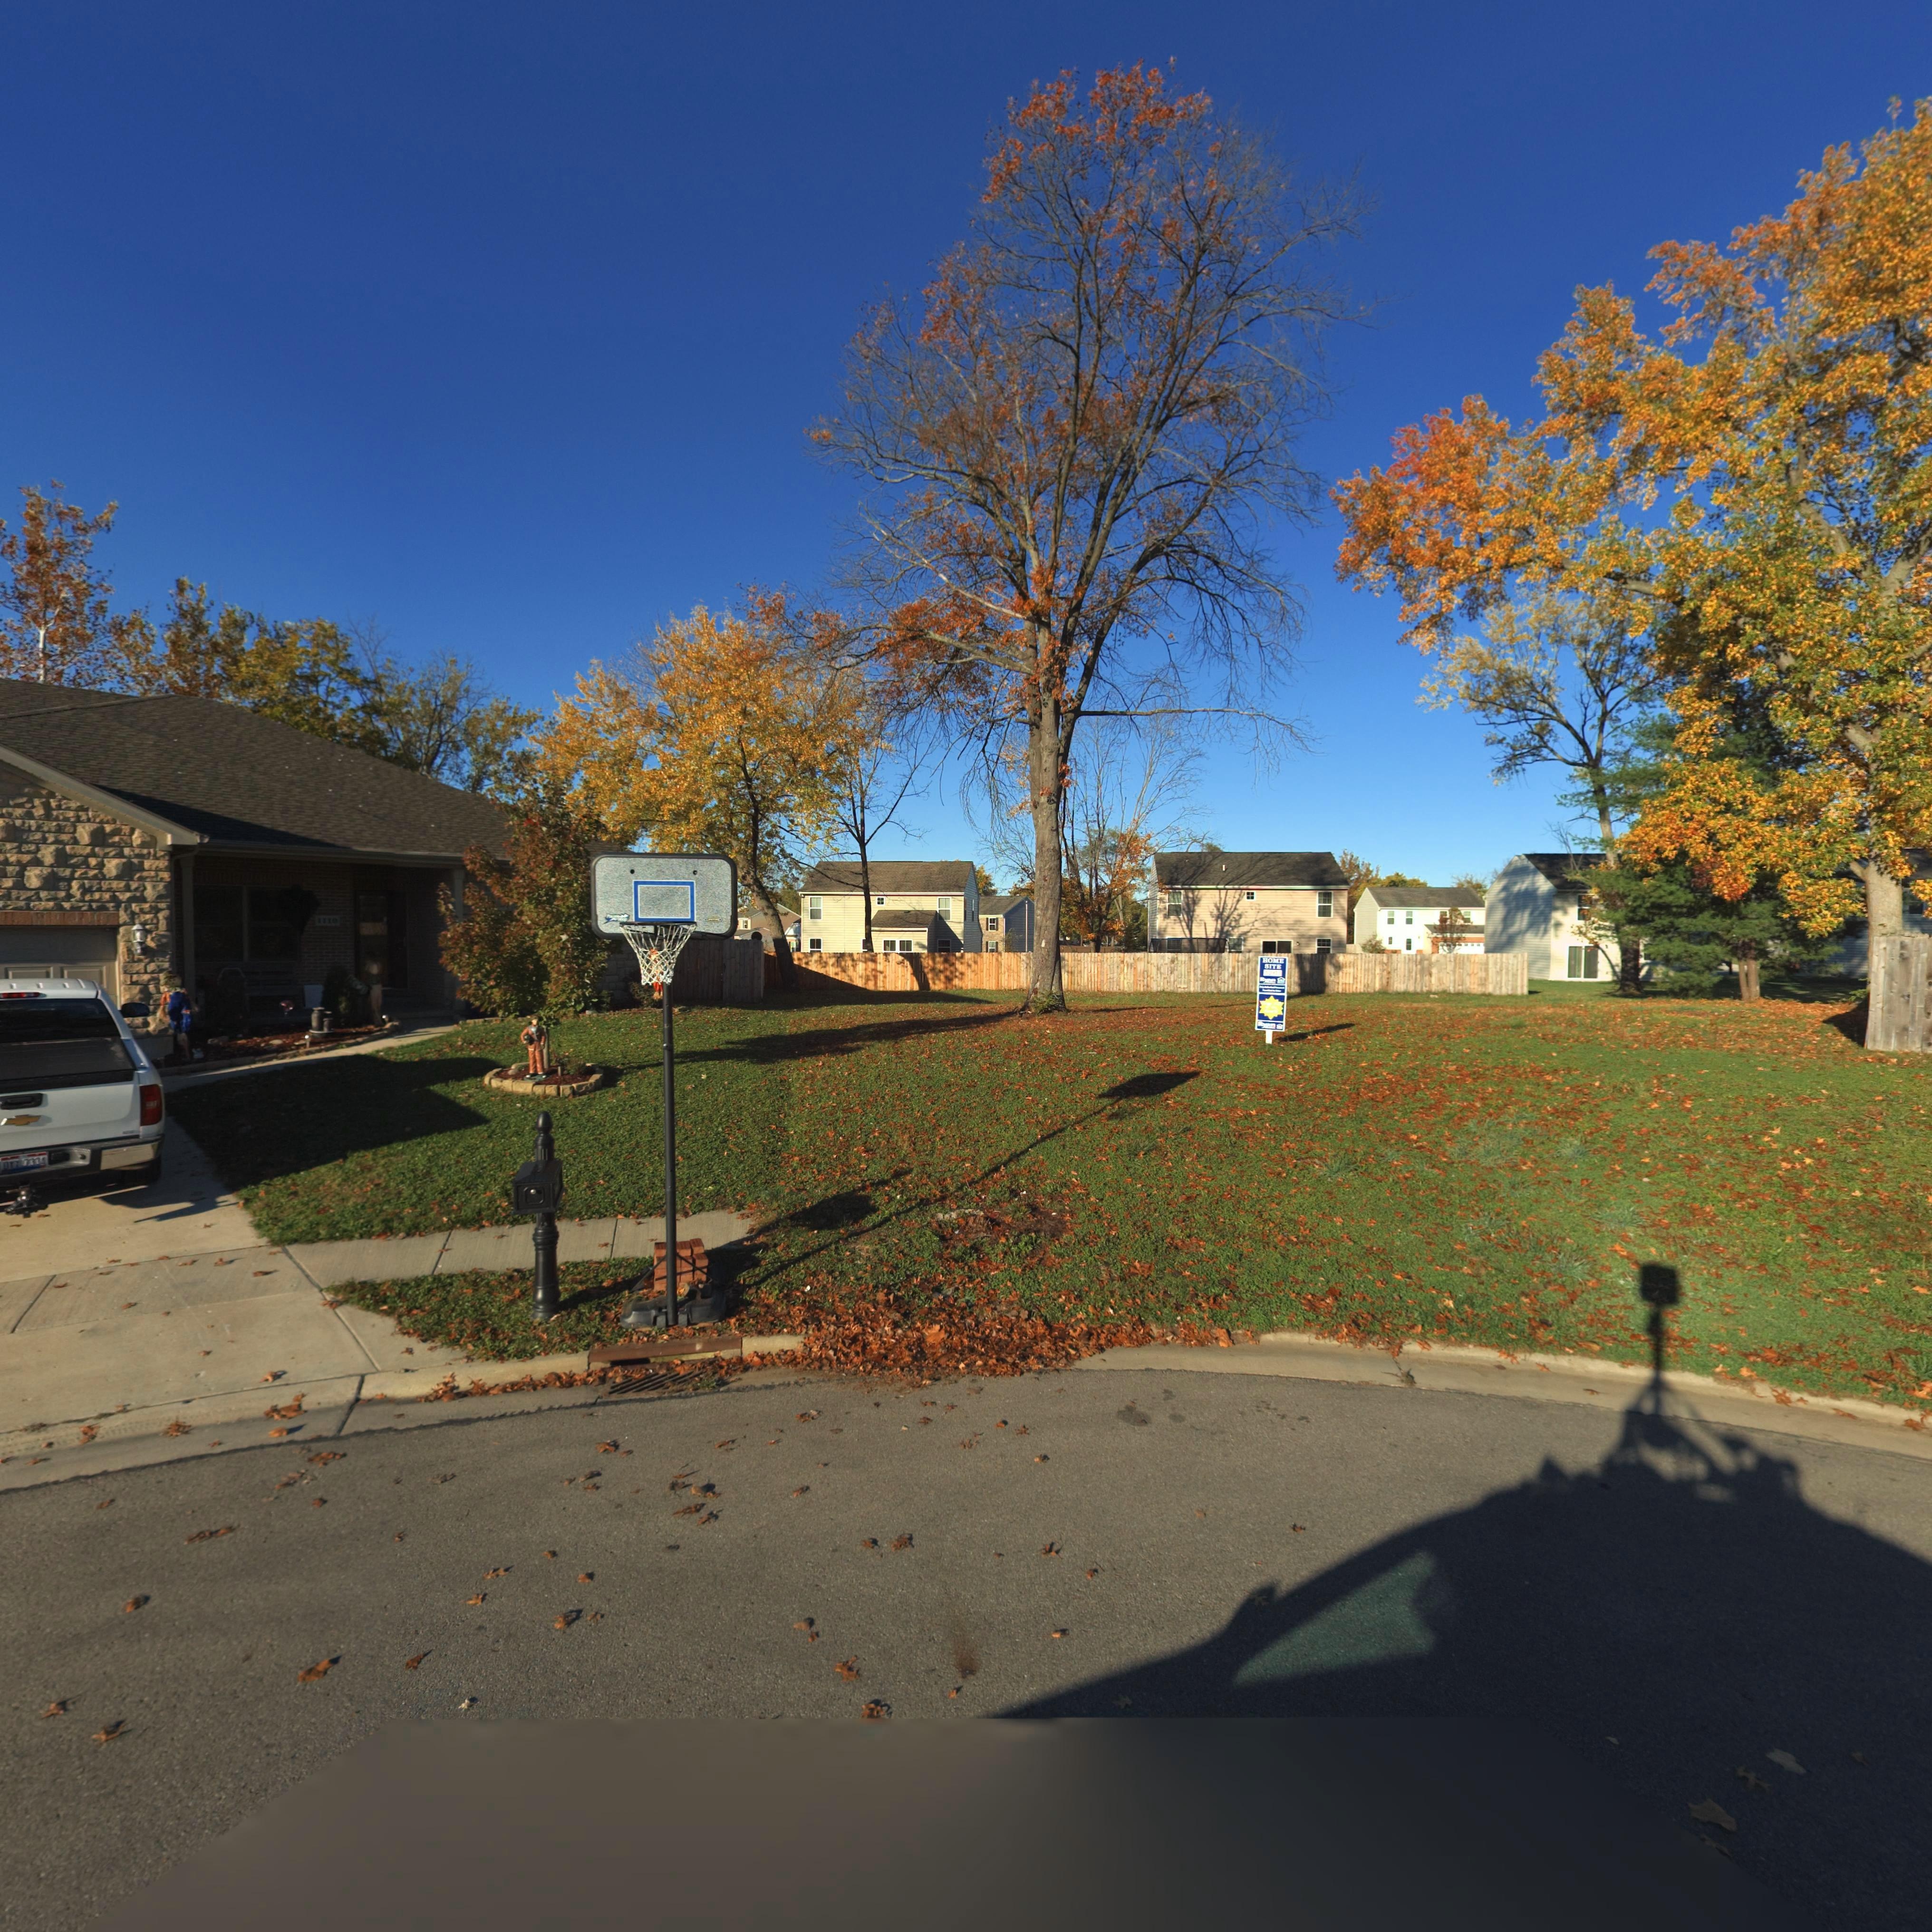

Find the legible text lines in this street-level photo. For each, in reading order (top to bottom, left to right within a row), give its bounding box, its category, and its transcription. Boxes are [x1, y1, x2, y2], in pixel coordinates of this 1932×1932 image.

[317, 917, 338, 924] StreetNumber: 1110